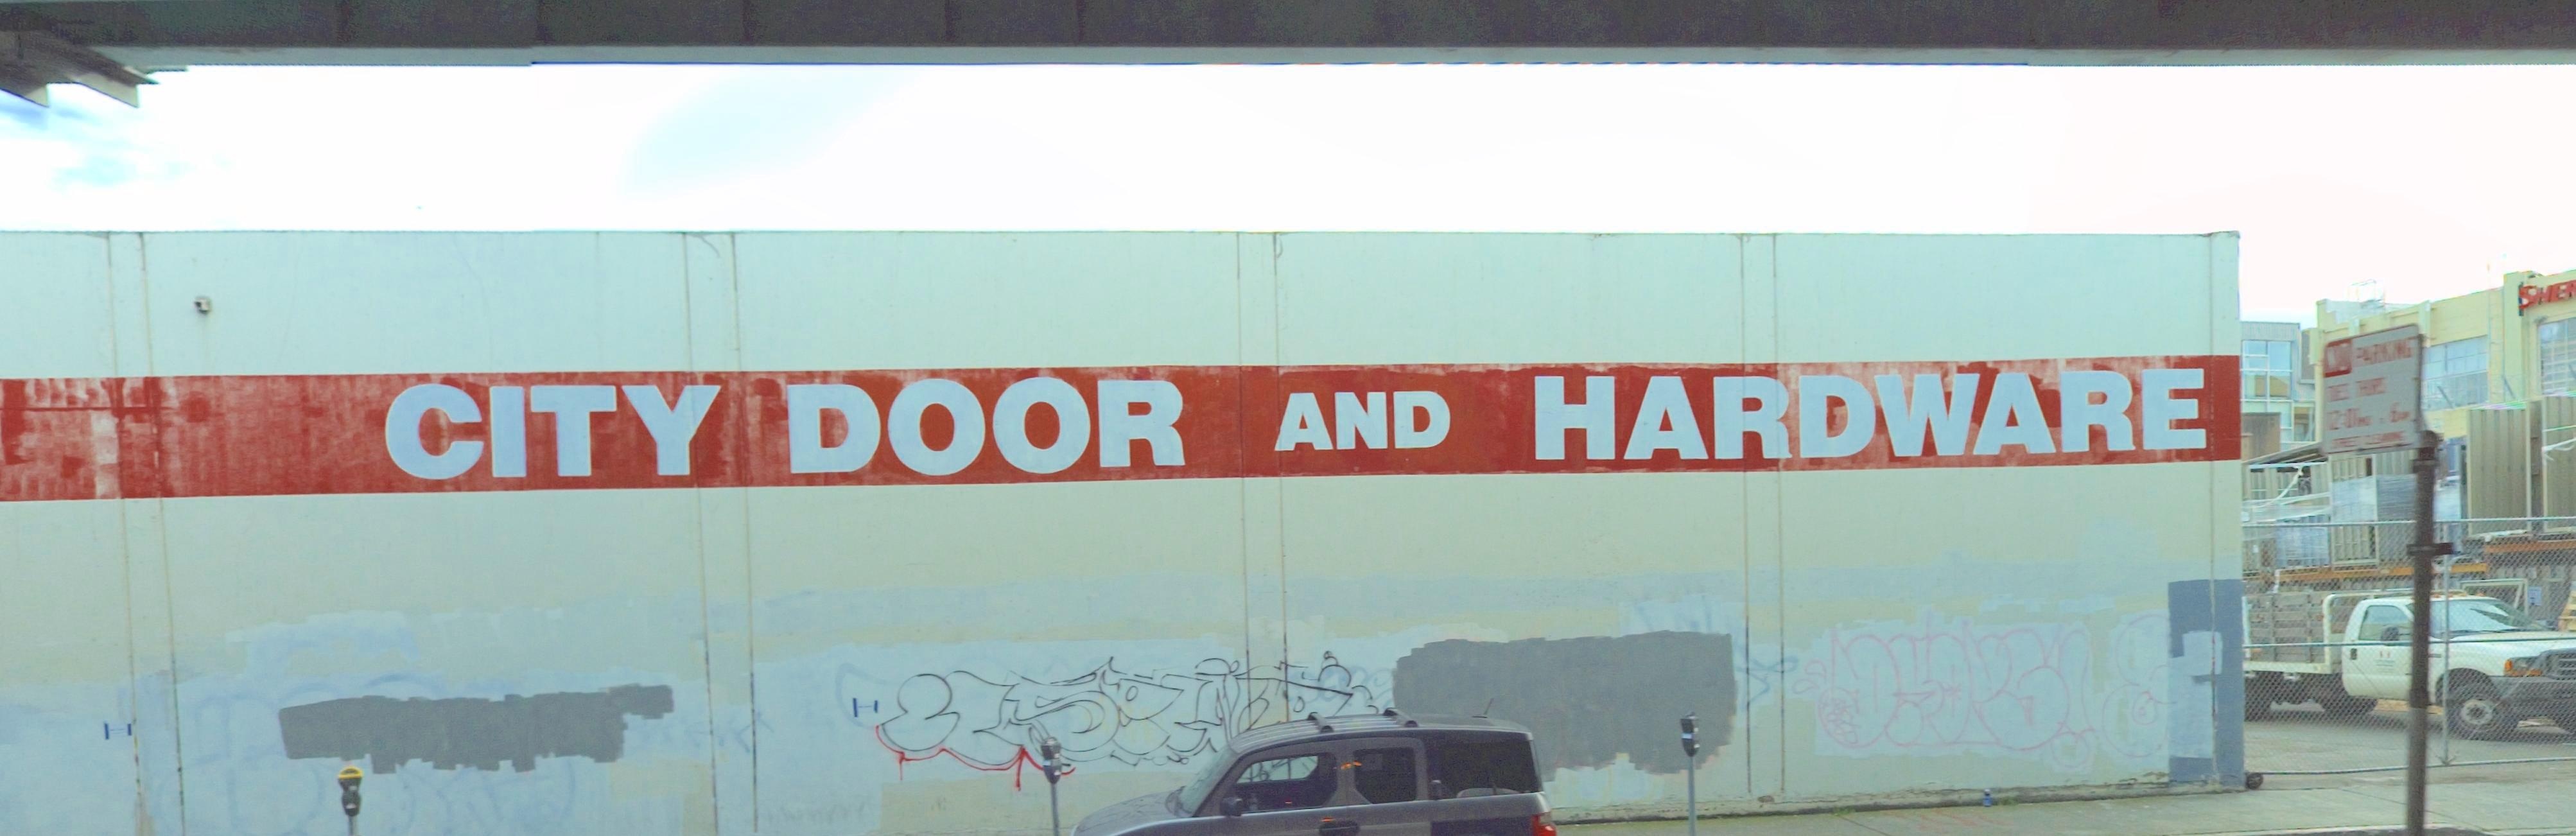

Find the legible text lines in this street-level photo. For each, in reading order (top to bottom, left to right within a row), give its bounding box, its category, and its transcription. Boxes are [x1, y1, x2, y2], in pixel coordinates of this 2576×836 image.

[2514, 274, 2572, 315] BusinessName: SHE
[2323, 333, 2419, 378] None: NO PARKING
[376, 362, 2215, 487] BusinessName: CITY DOOR AND HARDWARE